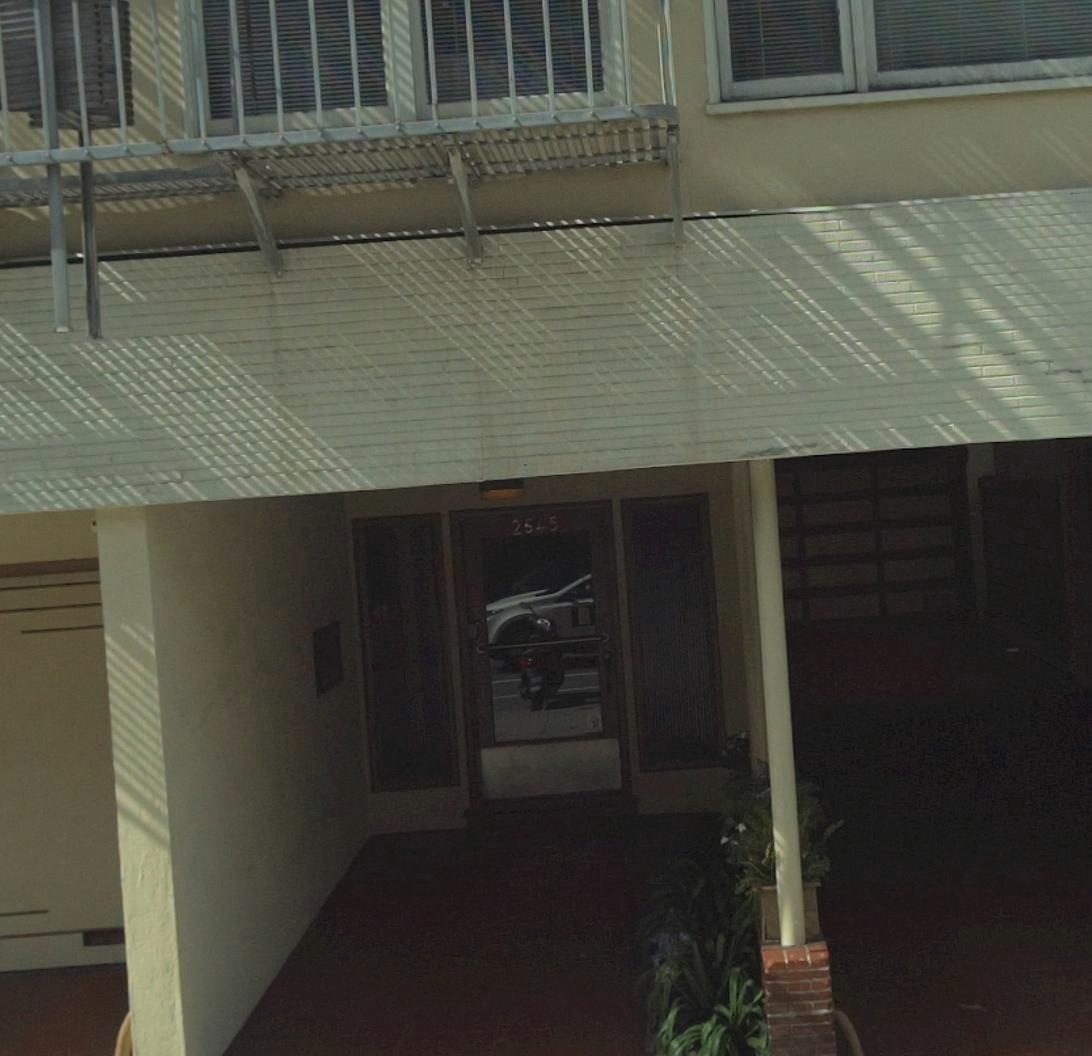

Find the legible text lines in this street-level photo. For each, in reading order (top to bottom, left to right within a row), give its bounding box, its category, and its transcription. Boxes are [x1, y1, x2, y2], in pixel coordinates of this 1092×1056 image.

[509, 513, 560, 538] StreetNumber: 2545